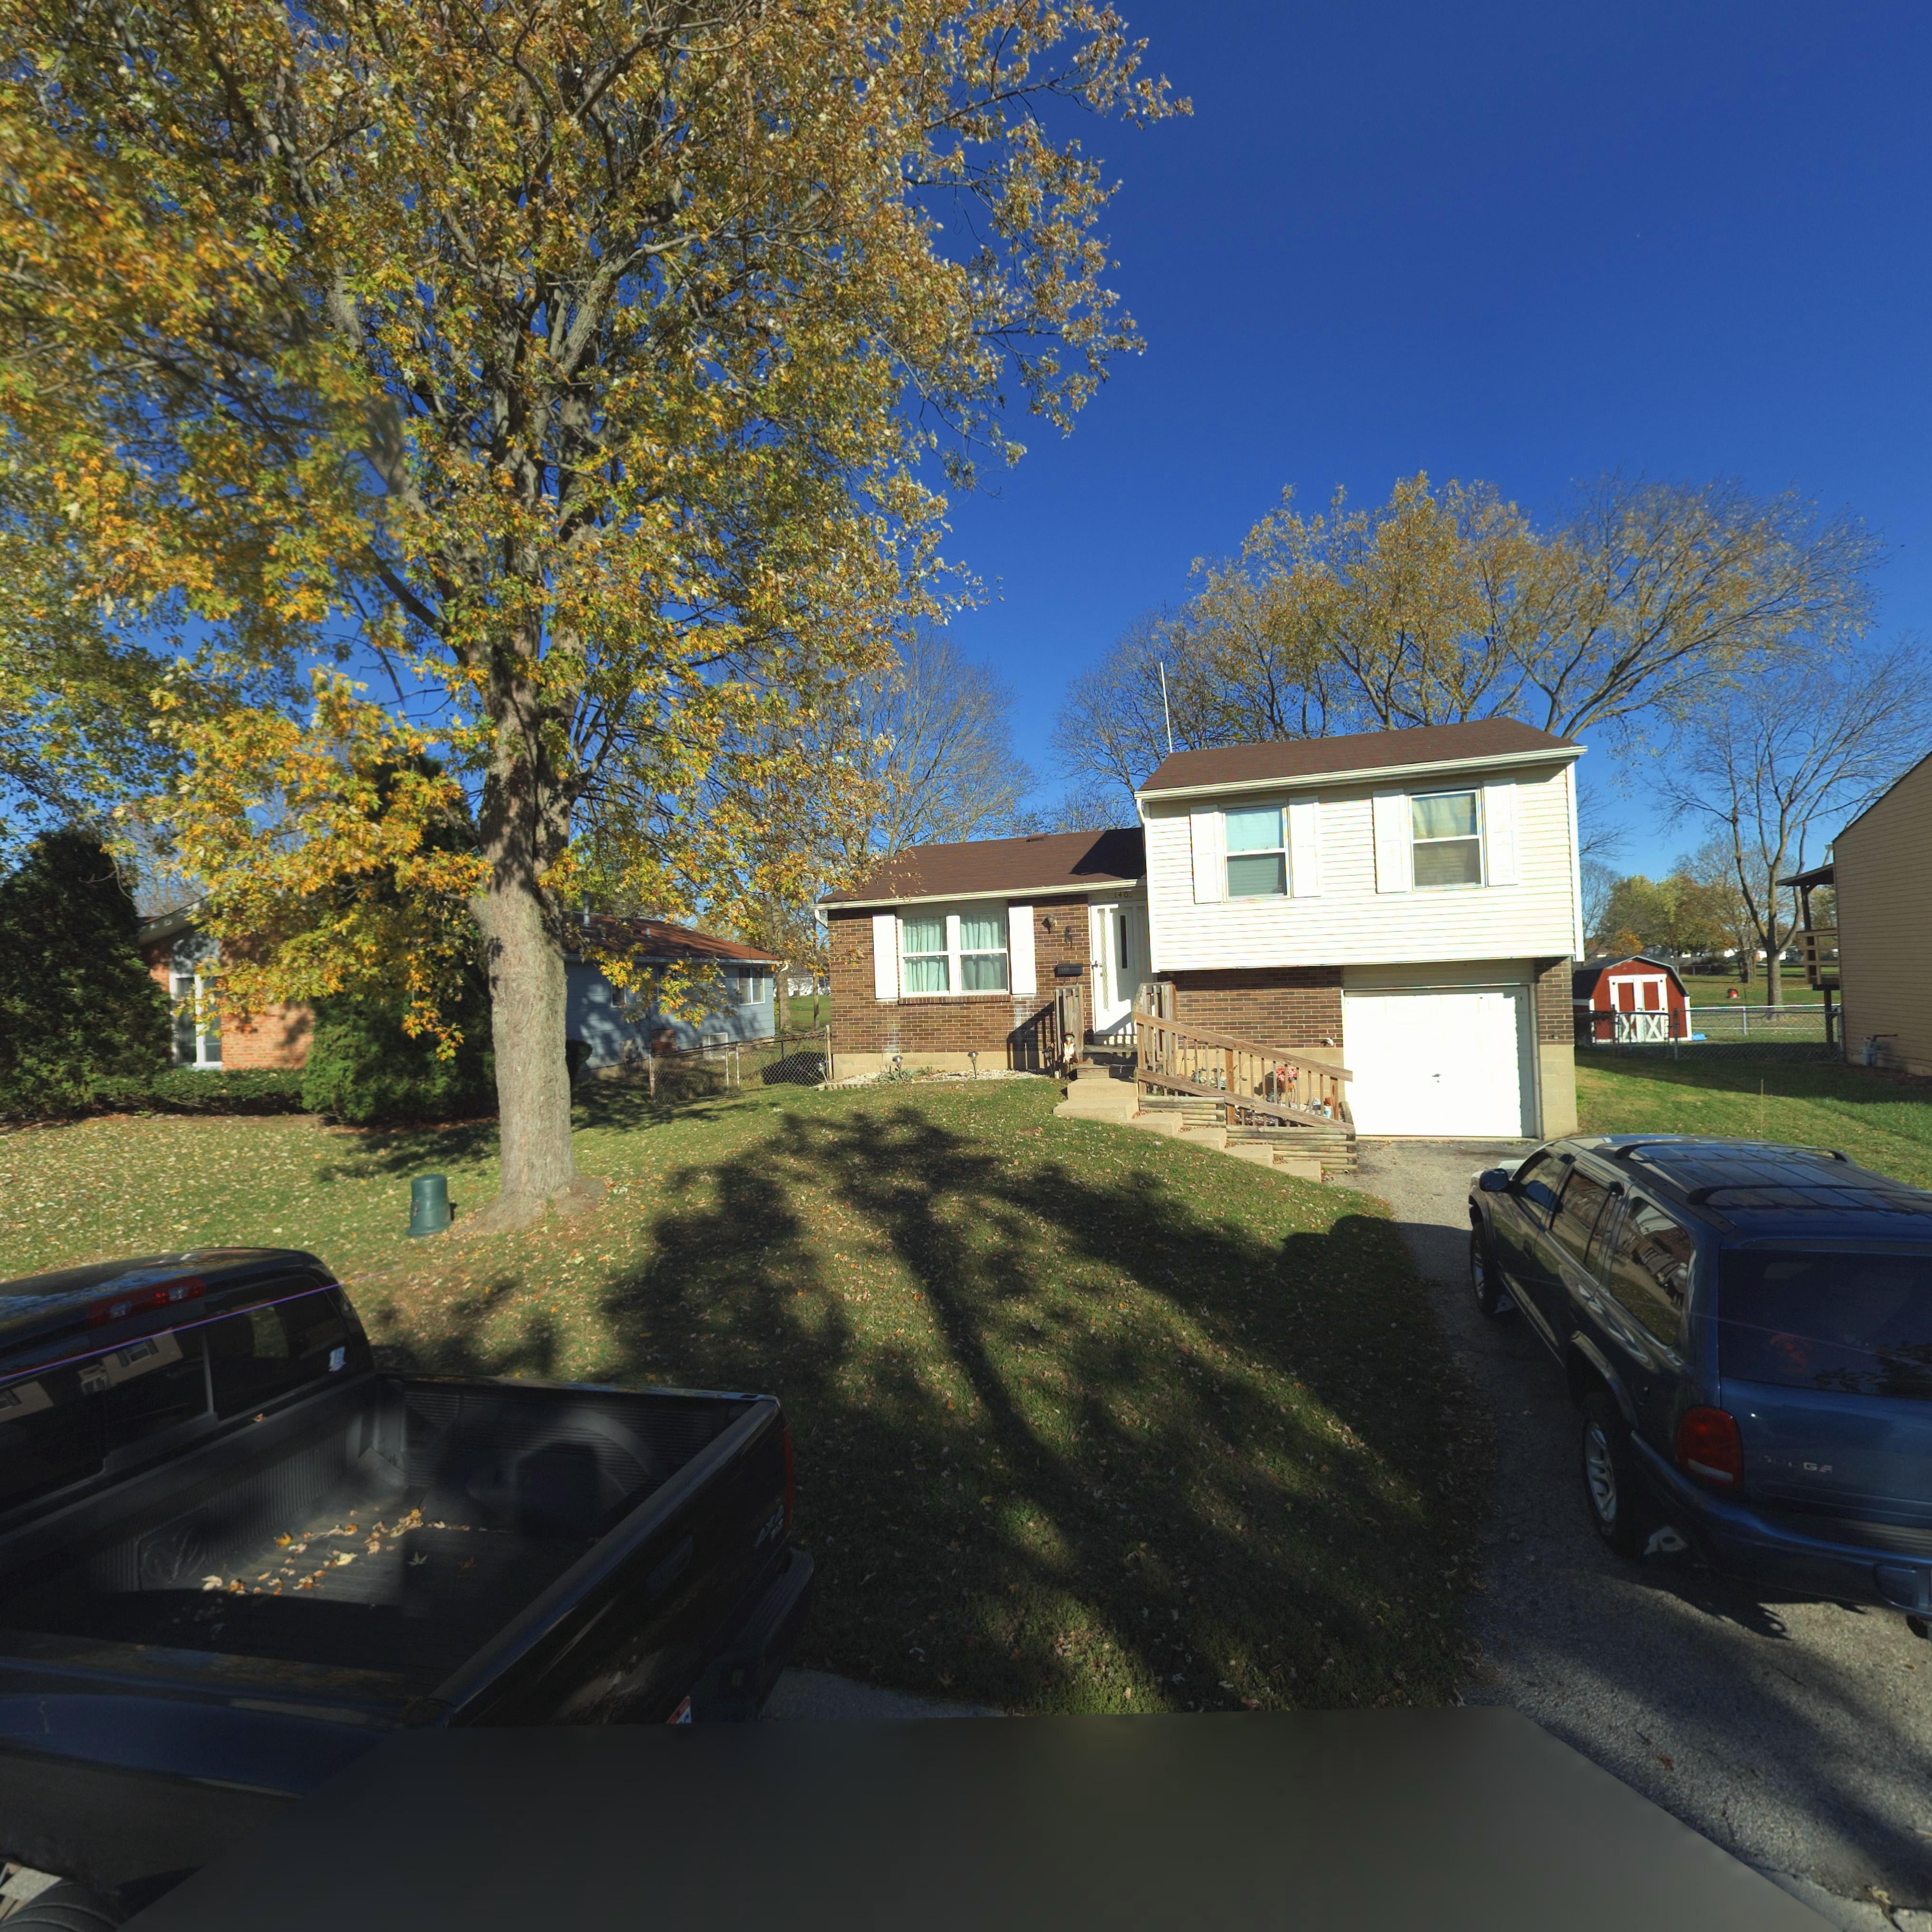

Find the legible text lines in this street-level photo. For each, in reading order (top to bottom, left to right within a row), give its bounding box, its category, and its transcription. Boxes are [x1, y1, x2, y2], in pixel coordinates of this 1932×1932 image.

[1114, 891, 1129, 899] StreetNumber: 140
[1061, 967, 1070, 972] StreetNumber: 140